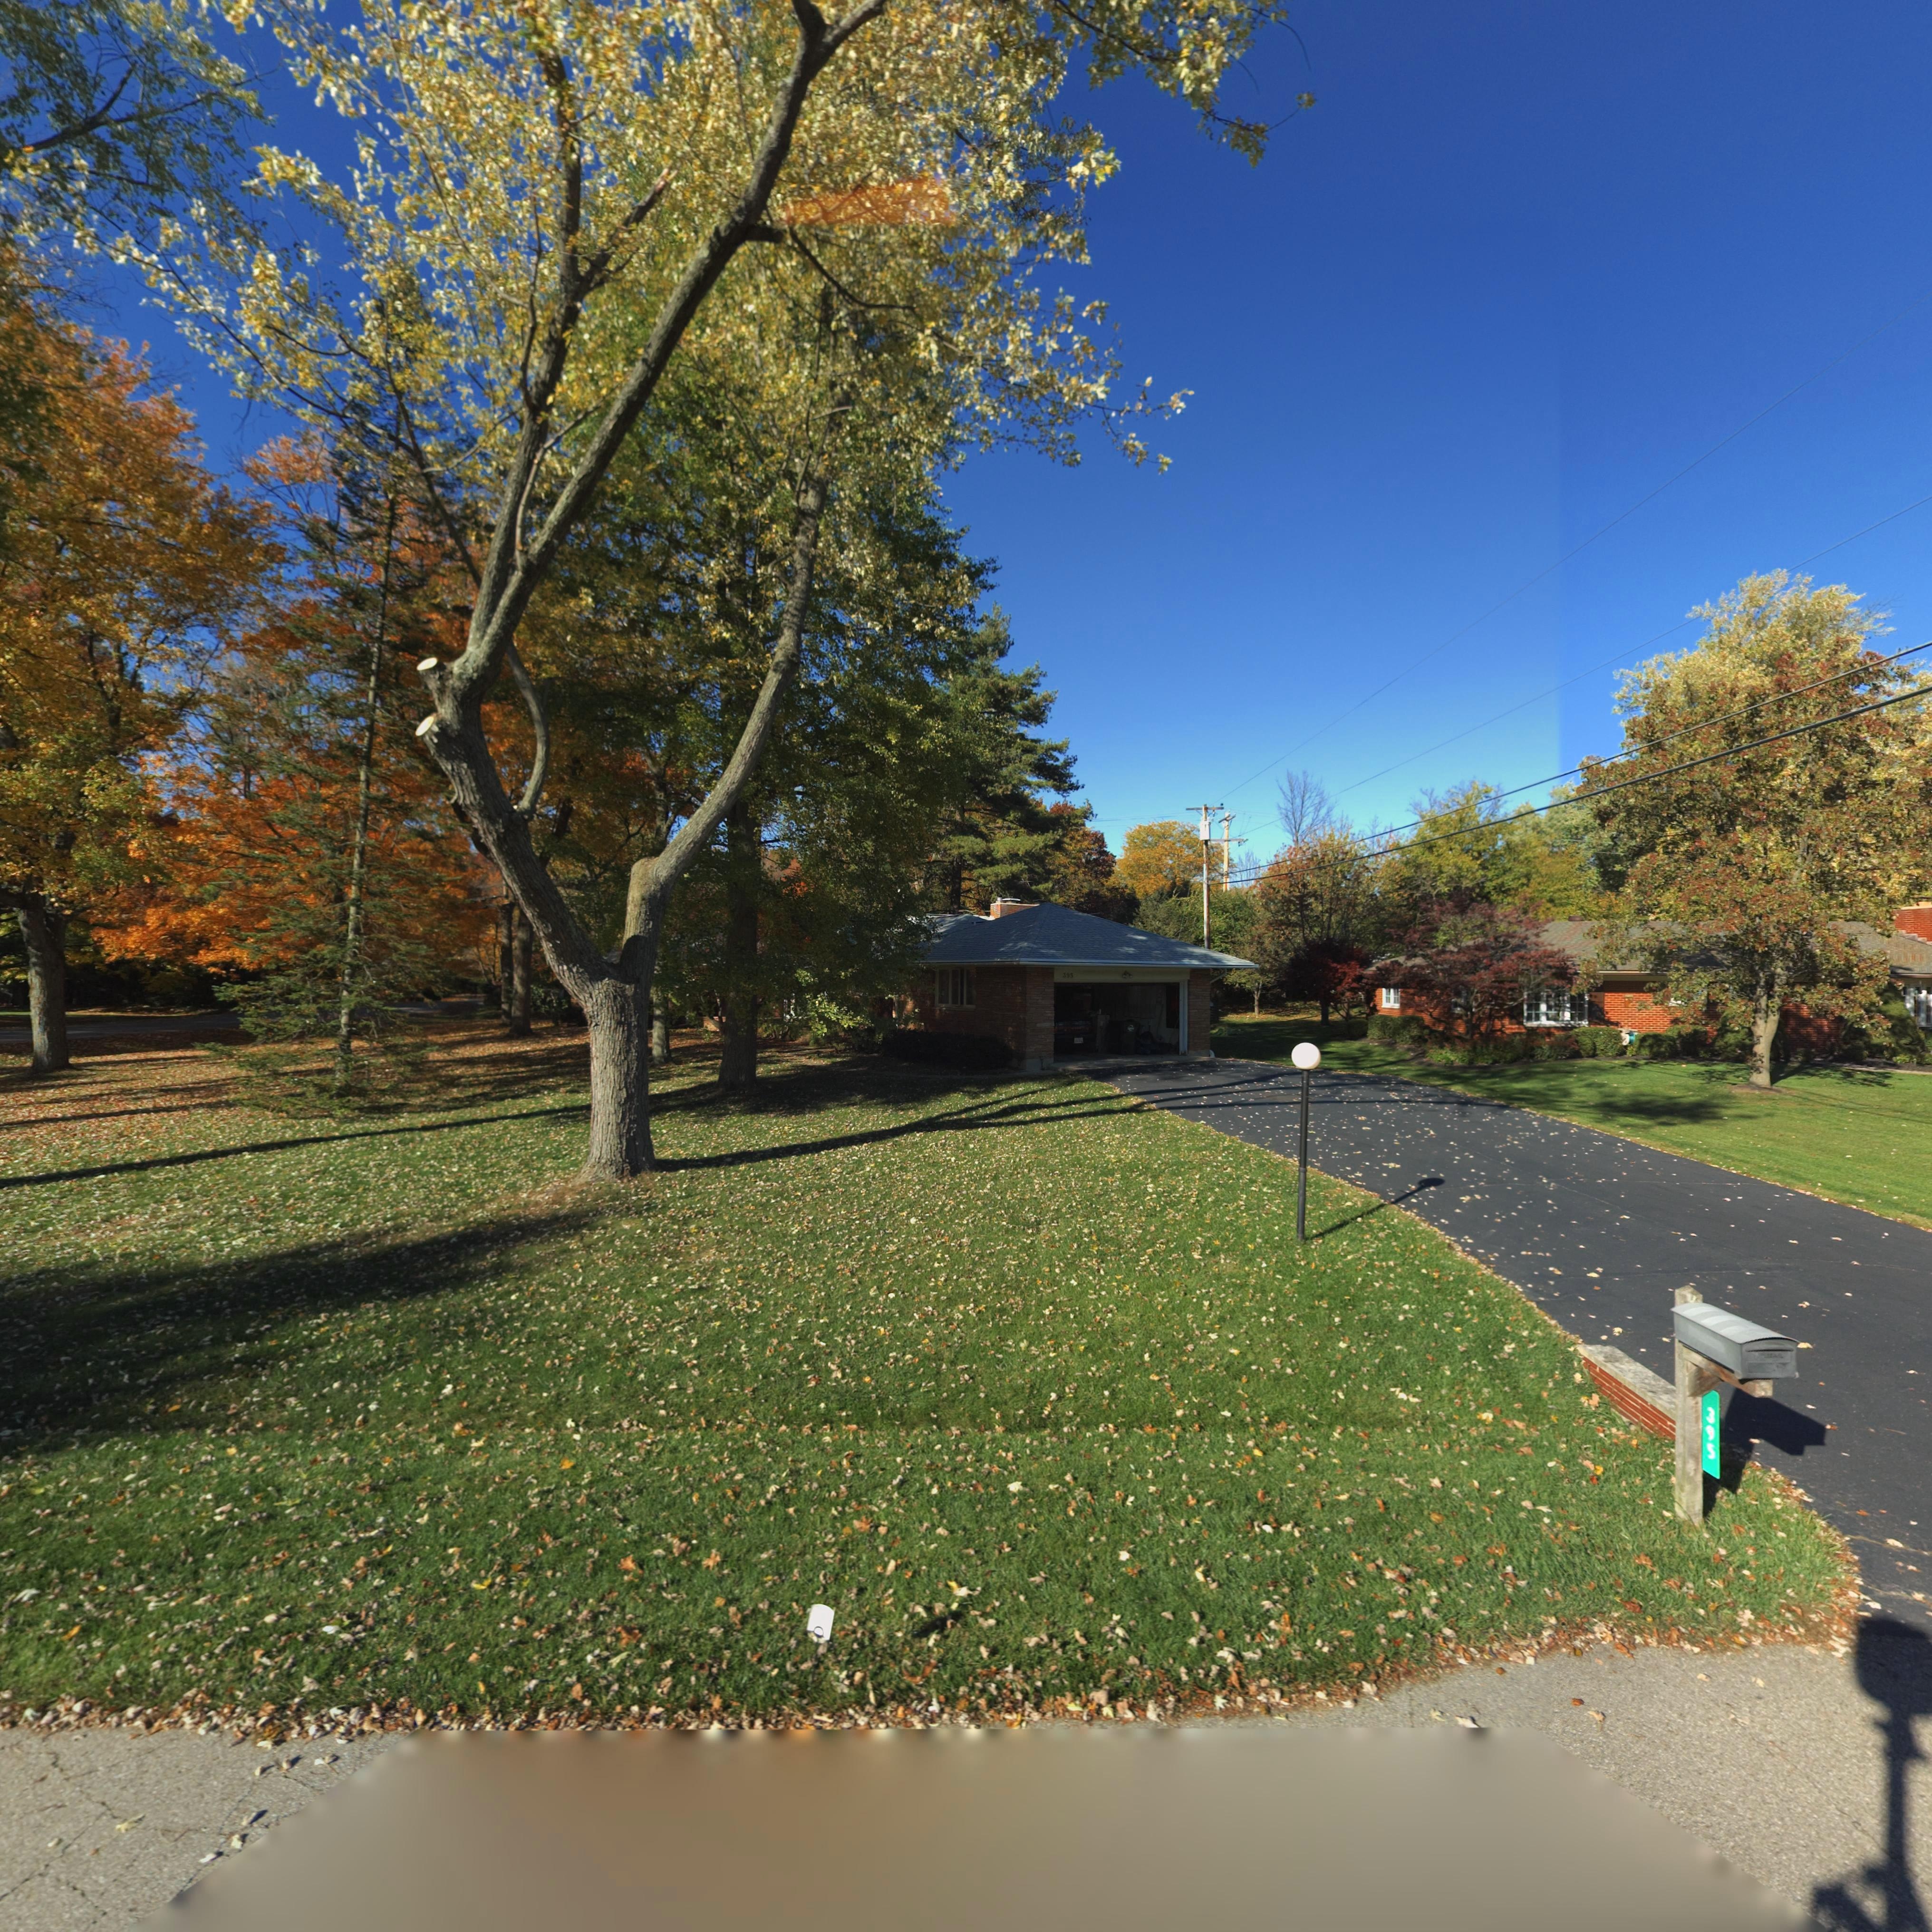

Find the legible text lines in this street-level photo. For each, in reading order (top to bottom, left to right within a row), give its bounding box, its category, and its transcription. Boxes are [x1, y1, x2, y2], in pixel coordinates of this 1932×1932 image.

[1062, 972, 1074, 978] StreetNumber: 395
[1705, 1404, 1717, 1462] StreetNumber: 395